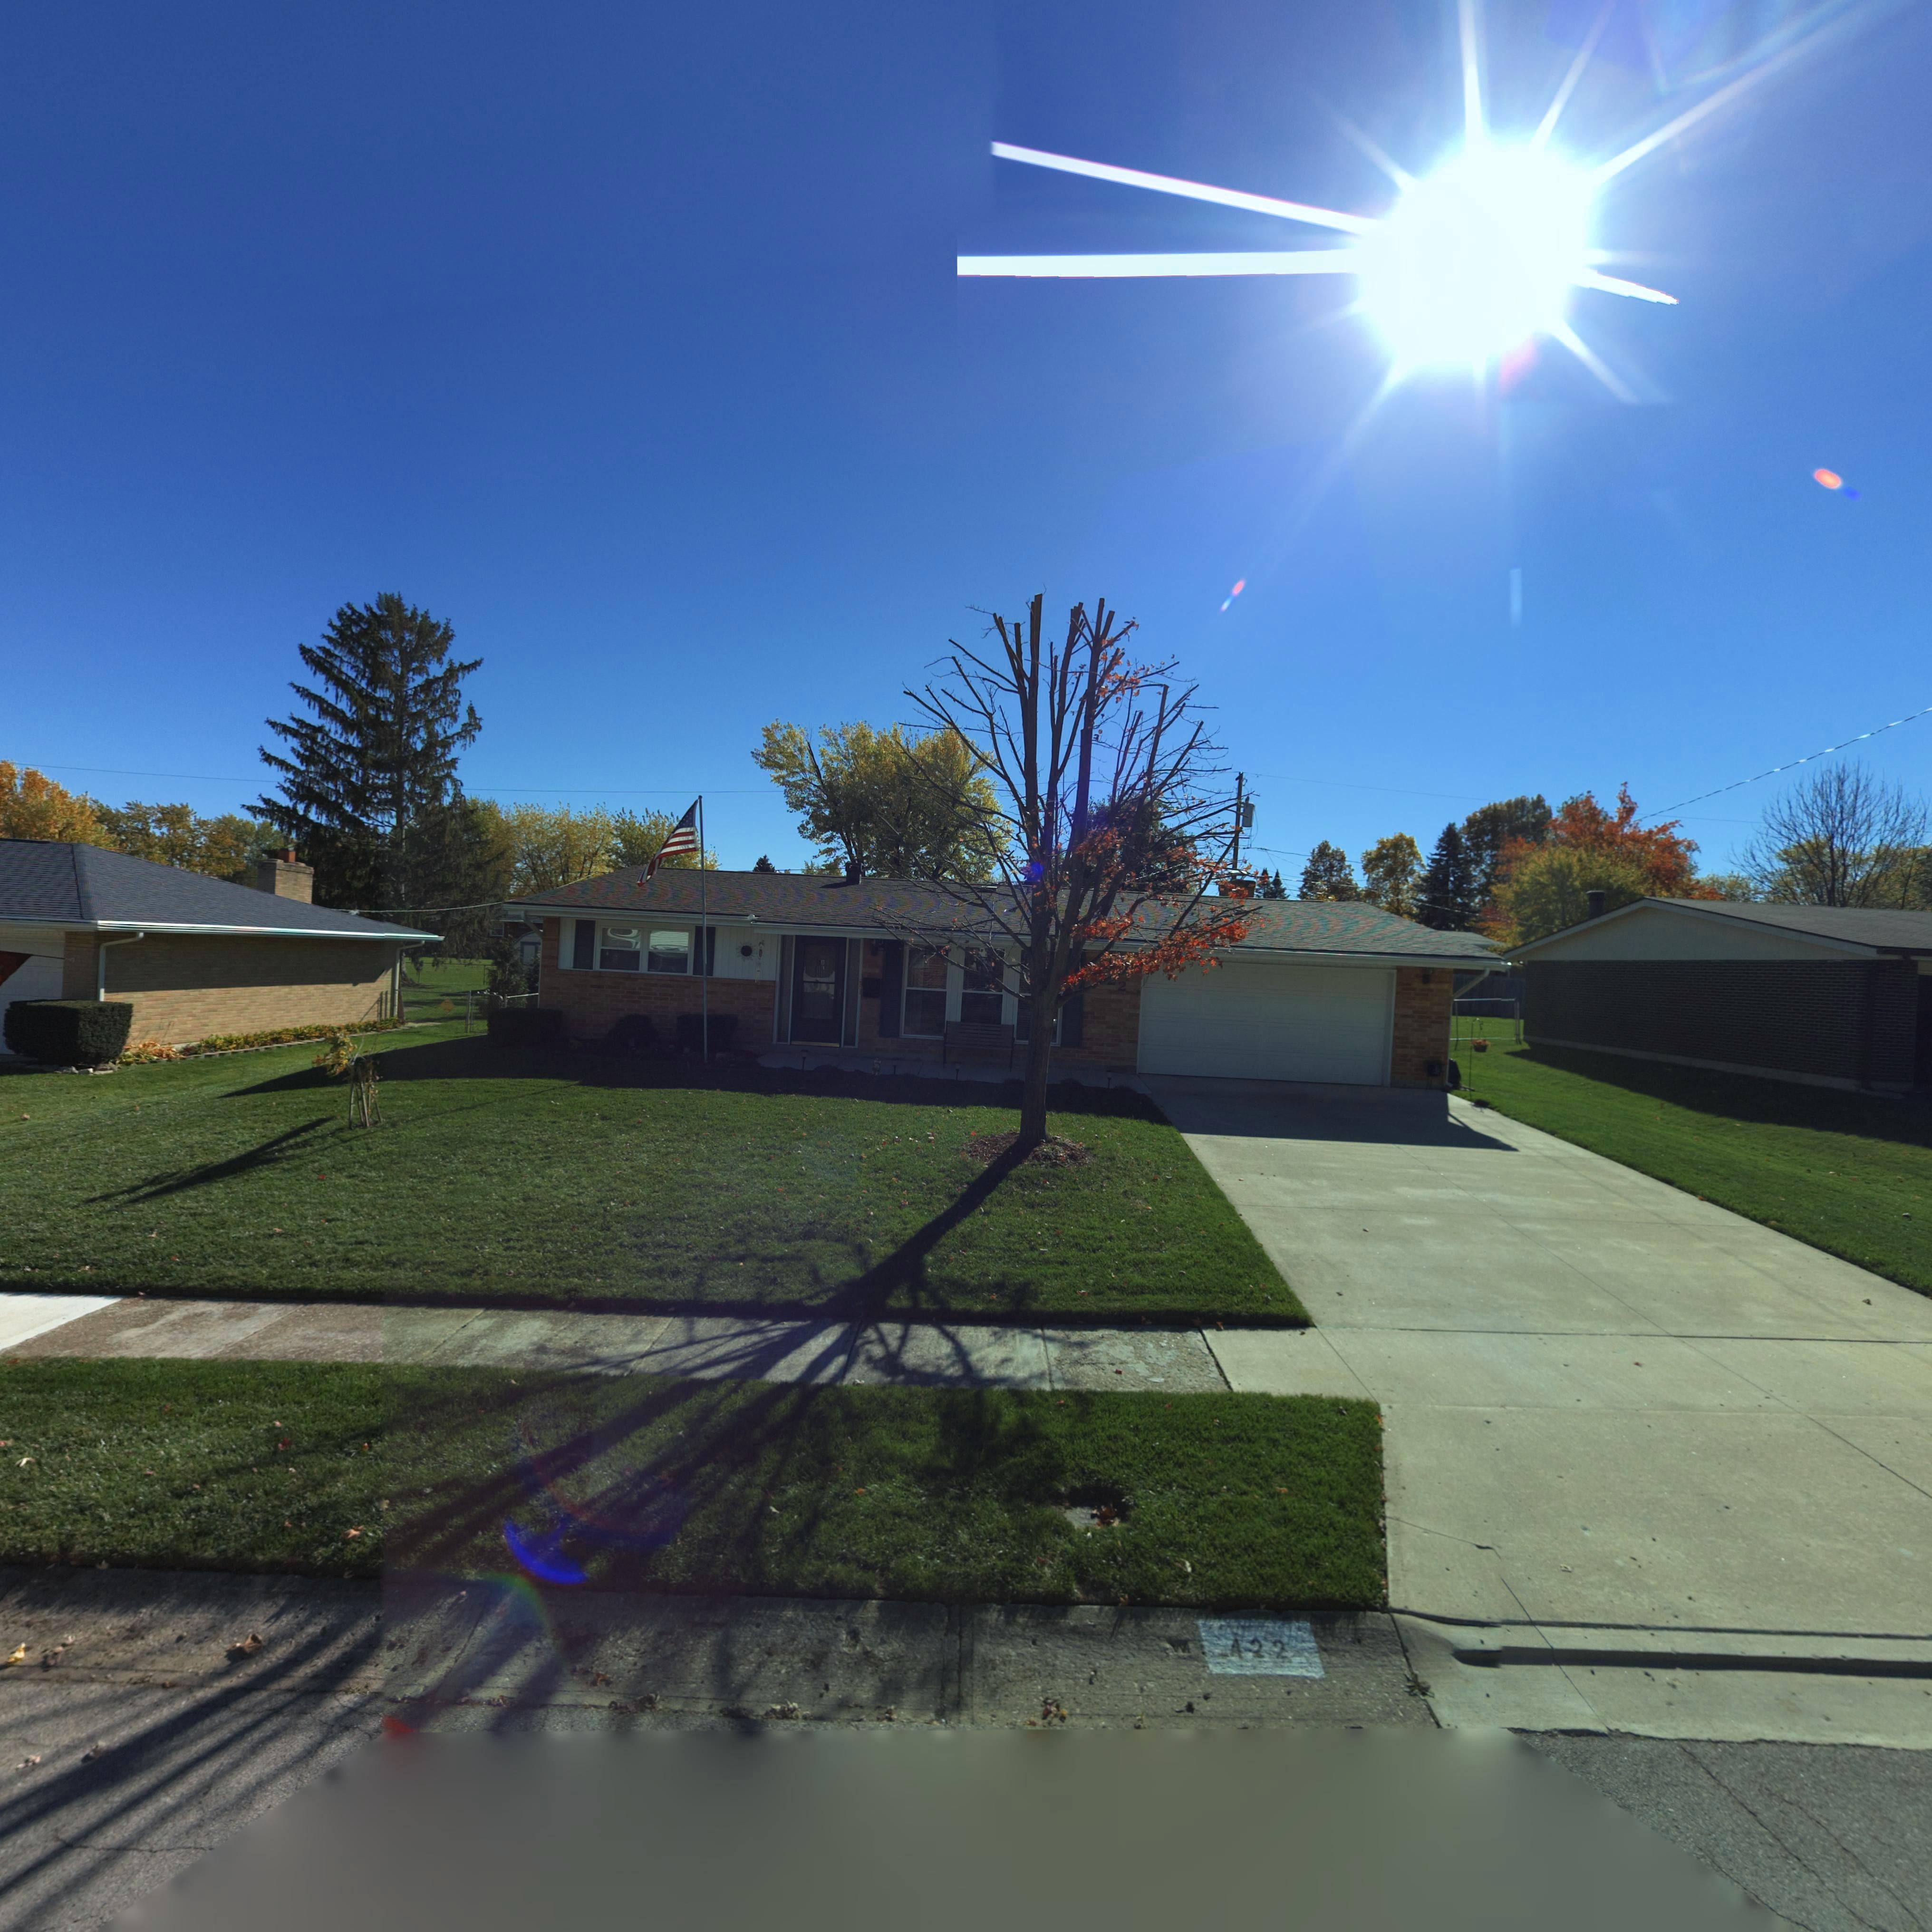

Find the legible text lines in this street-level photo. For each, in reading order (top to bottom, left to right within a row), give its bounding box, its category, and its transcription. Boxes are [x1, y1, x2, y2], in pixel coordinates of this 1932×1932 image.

[1117, 980, 1127, 992] StreetNumber: 2
[1228, 1636, 1291, 1662] StreetNumber: *22